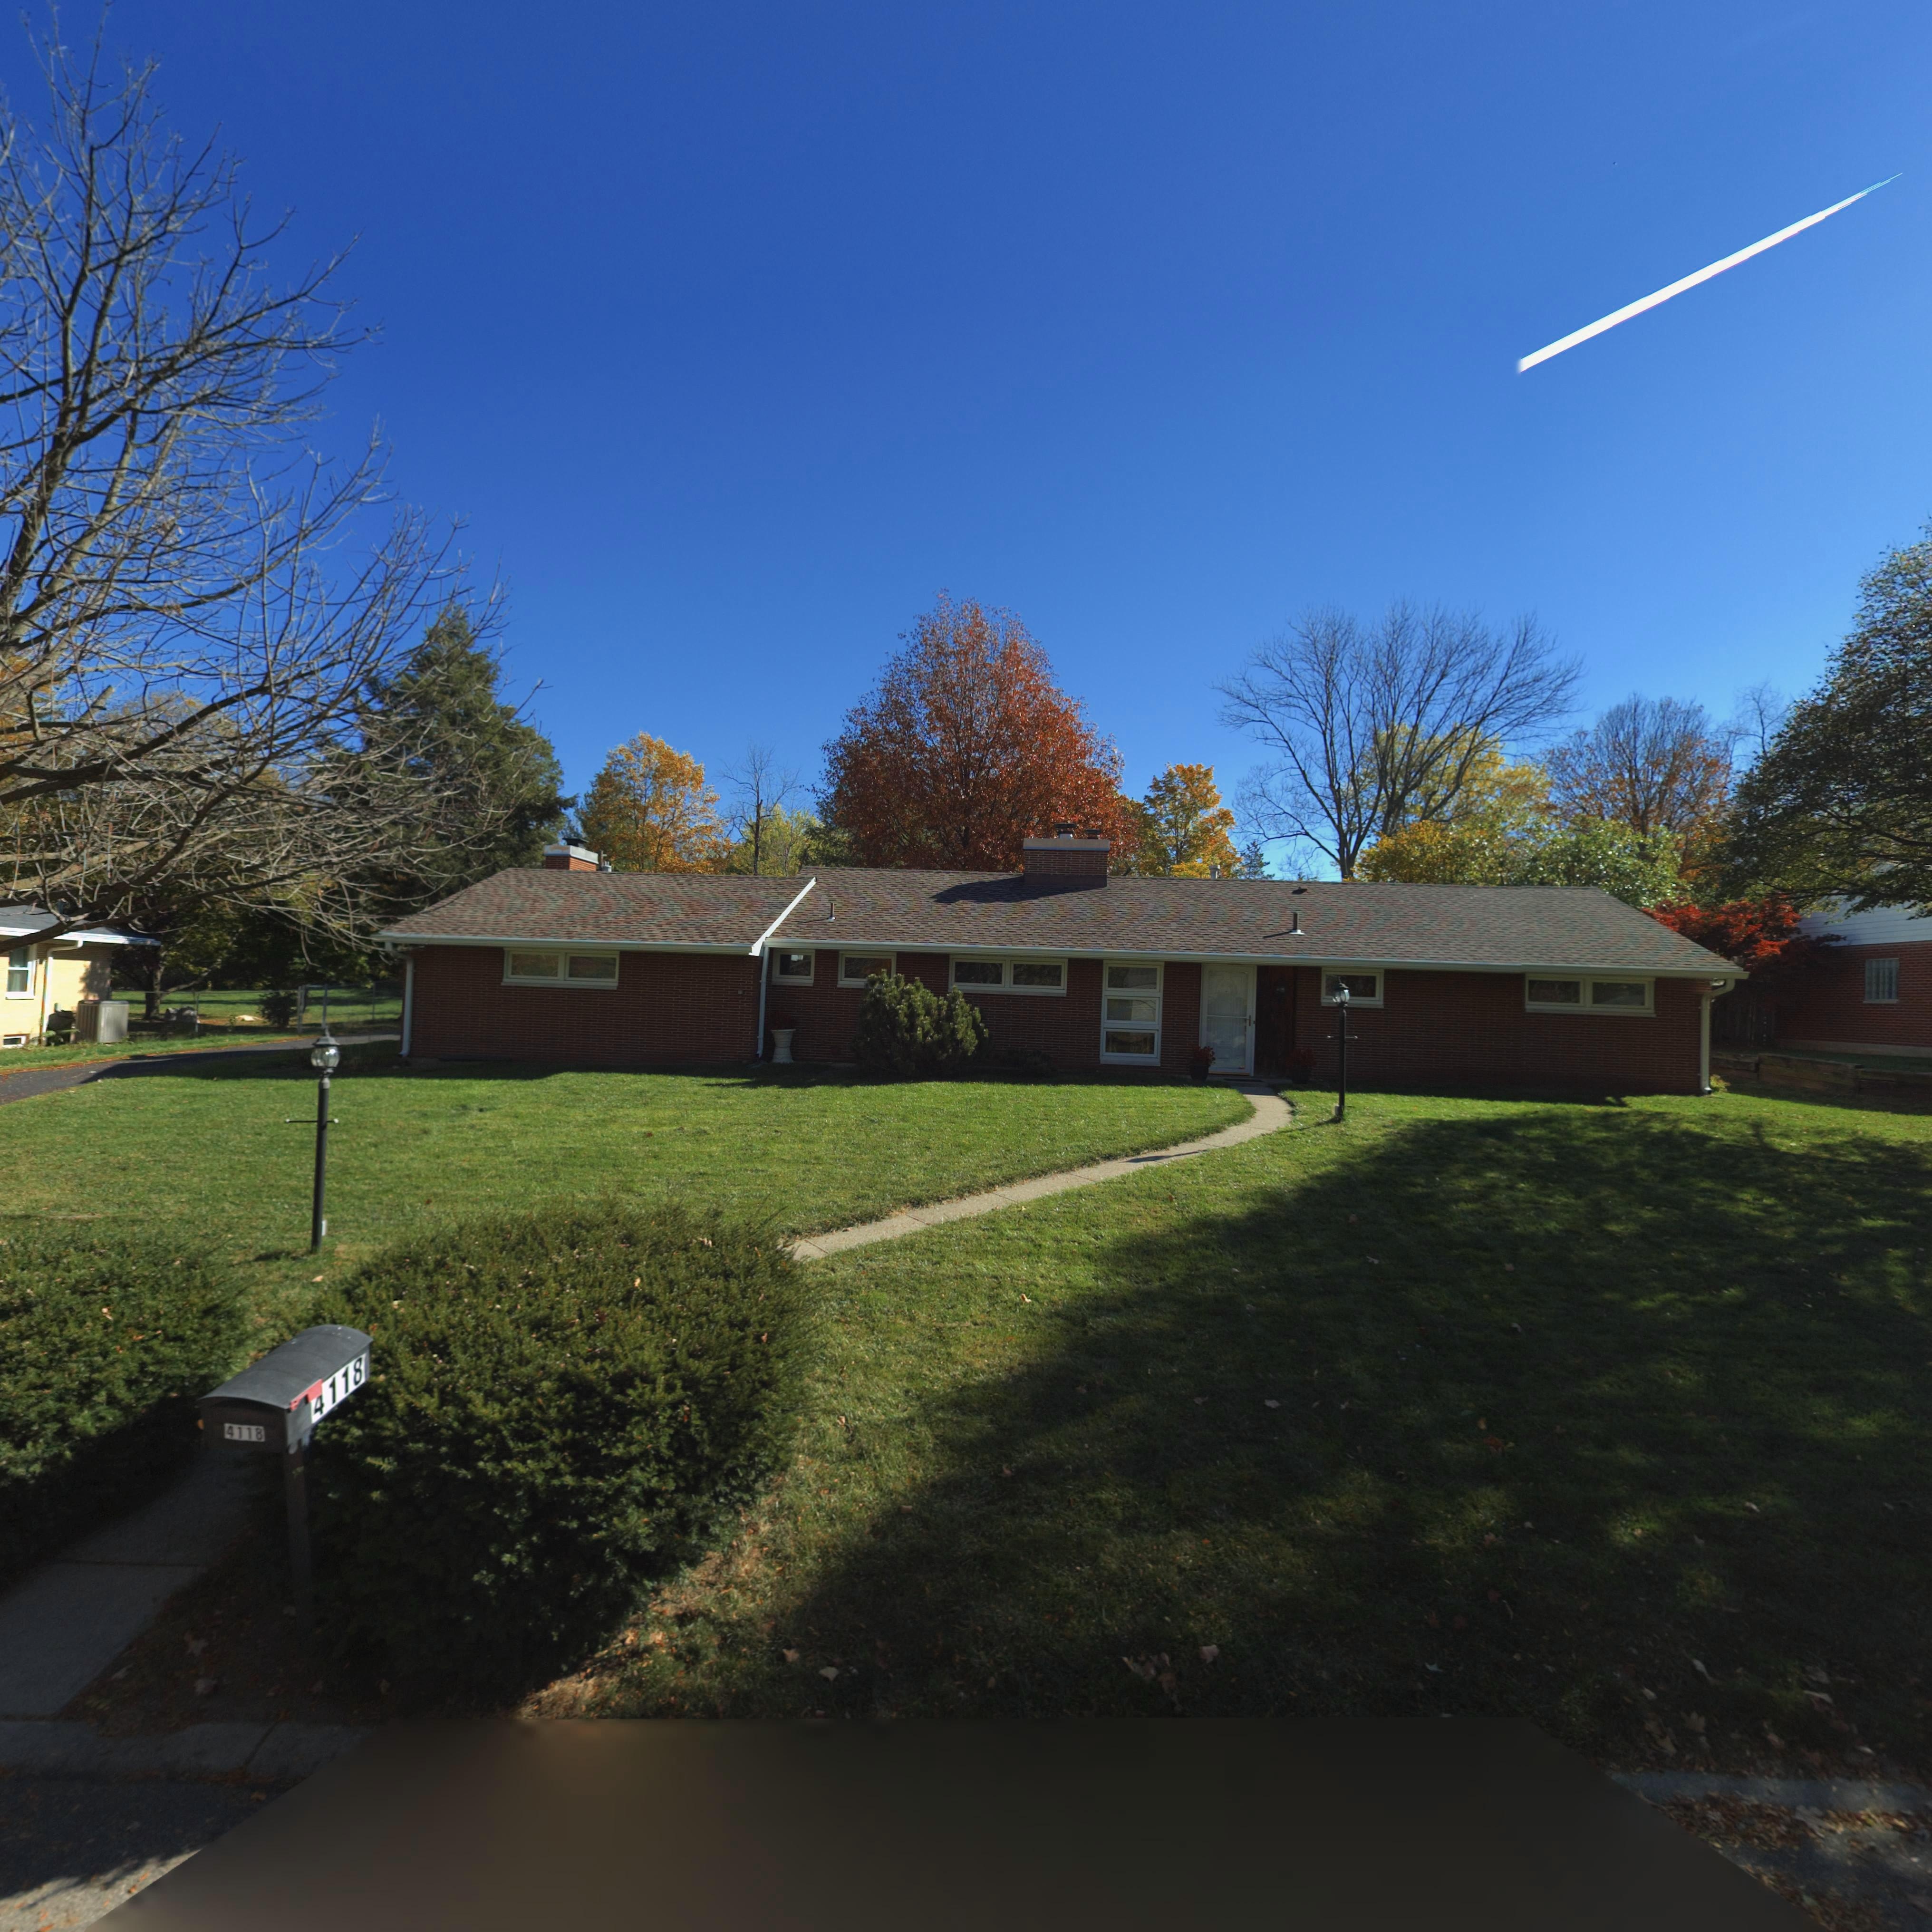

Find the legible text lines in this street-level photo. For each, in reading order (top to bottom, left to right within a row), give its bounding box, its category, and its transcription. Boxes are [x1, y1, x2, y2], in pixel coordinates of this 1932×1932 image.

[312, 1354, 364, 1419] StreetNumber: *118
[225, 1424, 264, 1442] StreetNumber: 4118